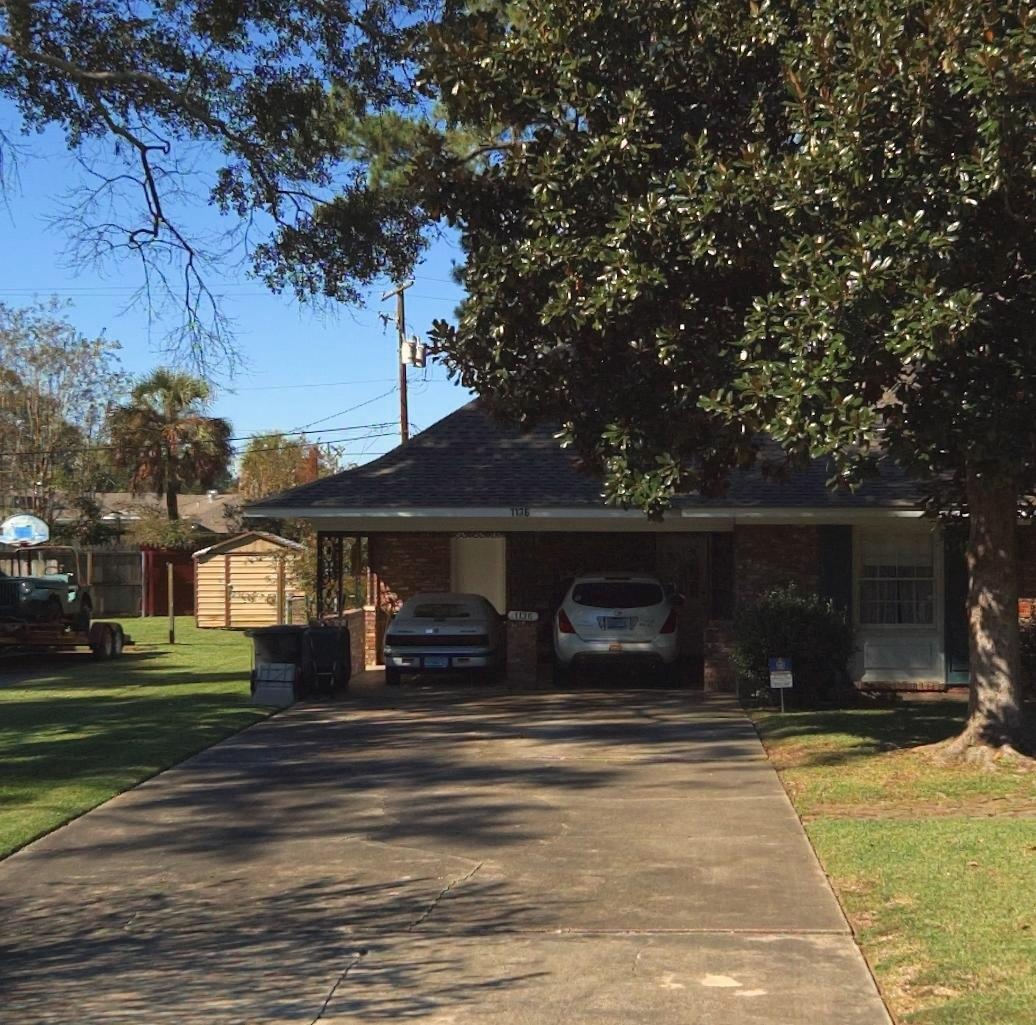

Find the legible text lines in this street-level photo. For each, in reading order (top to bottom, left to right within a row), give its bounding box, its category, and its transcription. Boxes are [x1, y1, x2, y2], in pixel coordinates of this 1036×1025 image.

[508, 506, 531, 519] StreetNumber: 1136
[513, 610, 534, 622] StreetNumber: 1136